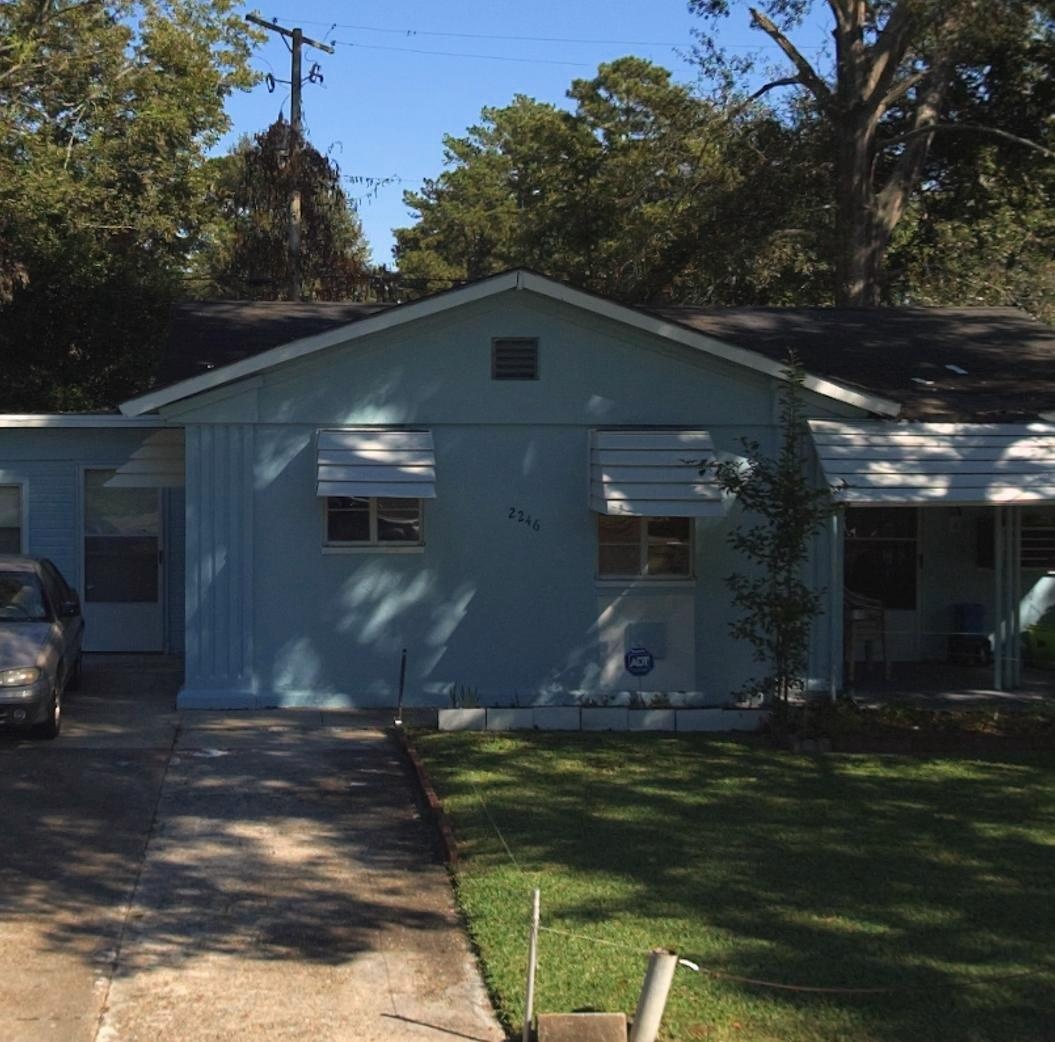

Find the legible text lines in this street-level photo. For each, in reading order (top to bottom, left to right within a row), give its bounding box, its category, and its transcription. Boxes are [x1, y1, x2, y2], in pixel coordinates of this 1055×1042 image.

[505, 504, 541, 535] StreetNumber: 2246
[628, 656, 650, 668] None: ADT